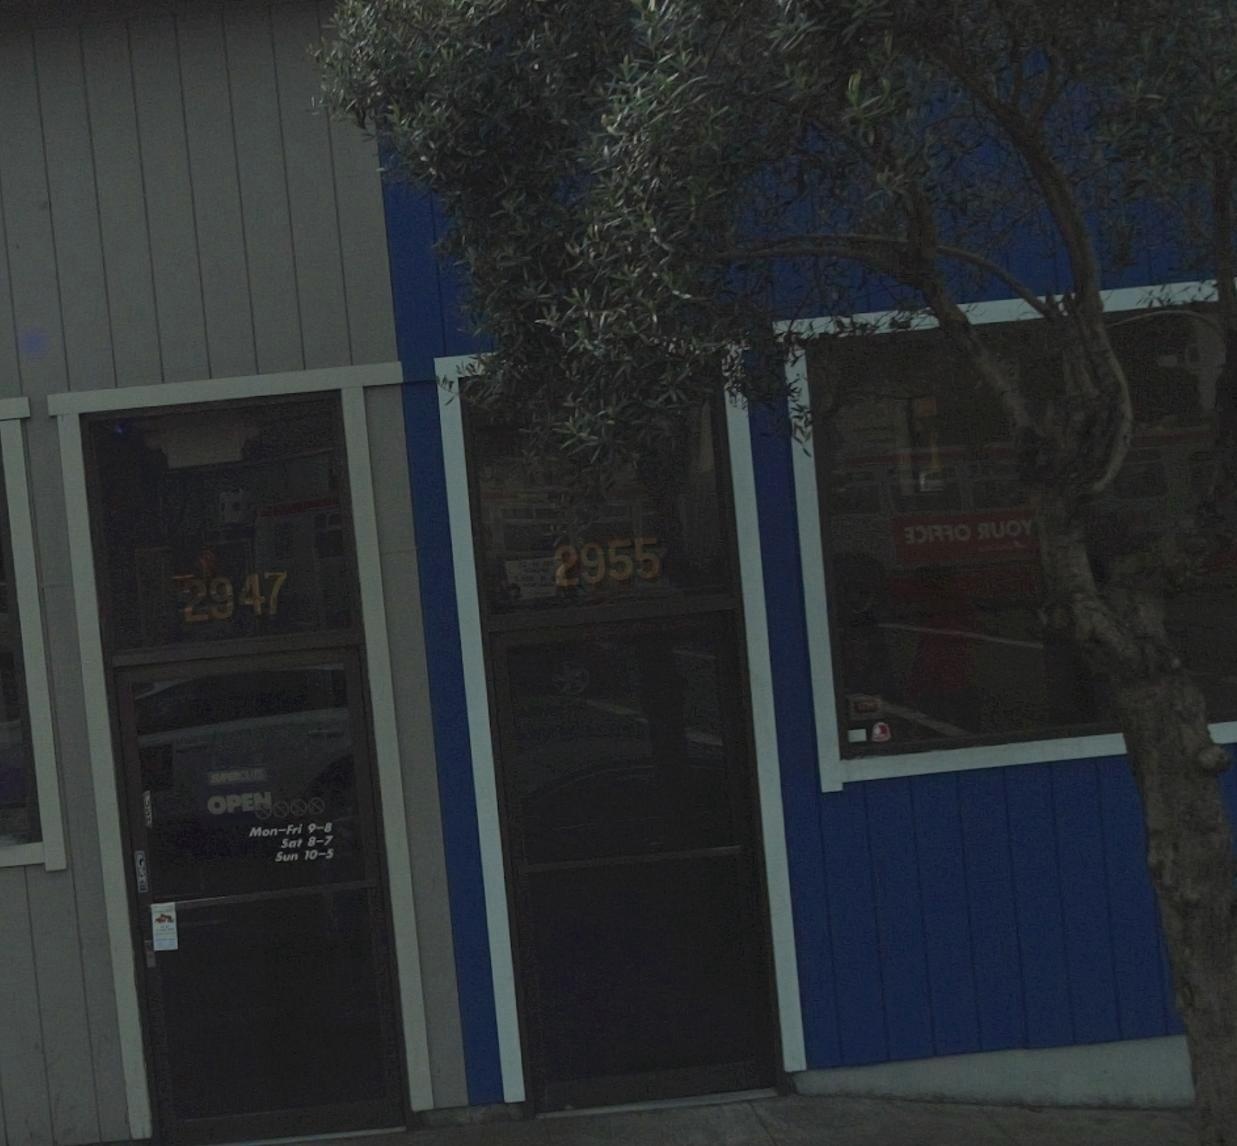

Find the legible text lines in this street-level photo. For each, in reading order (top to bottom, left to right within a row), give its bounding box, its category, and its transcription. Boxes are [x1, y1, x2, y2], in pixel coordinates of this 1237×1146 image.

[953, 519, 1023, 543] None: O *UO
[553, 535, 661, 588] StreetNumber: 2955
[180, 569, 291, 625] StreetNumber: 2947
[210, 768, 264, 784] BusinessName: SUPERCUTS
[143, 799, 151, 816] None: US
[206, 790, 274, 816] None: OPEN
[248, 822, 333, 838] None: Mon-Fri 9-8\
[279, 835, 336, 850] None: Sat 8-7
[273, 848, 335, 862] None: Sun 10-5
[135, 853, 147, 884] None: PU*H